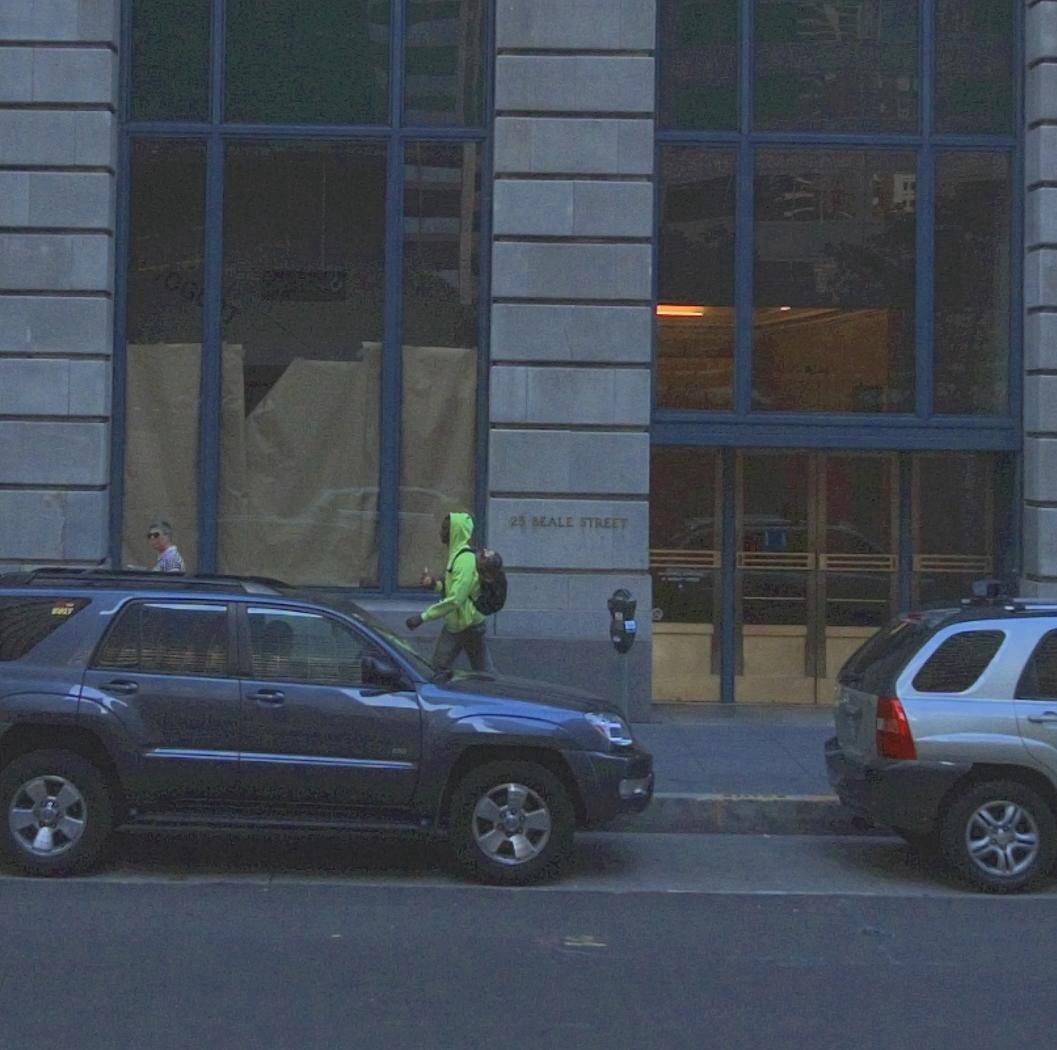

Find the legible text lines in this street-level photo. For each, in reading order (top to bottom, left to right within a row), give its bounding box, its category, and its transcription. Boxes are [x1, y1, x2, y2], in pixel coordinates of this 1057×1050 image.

[328, 277, 345, 294] None: O
[163, 271, 243, 328] None: OG**T
[510, 515, 528, 529] StreetNumber: 25
[532, 516, 629, 530] StreetName: BEALE STREET